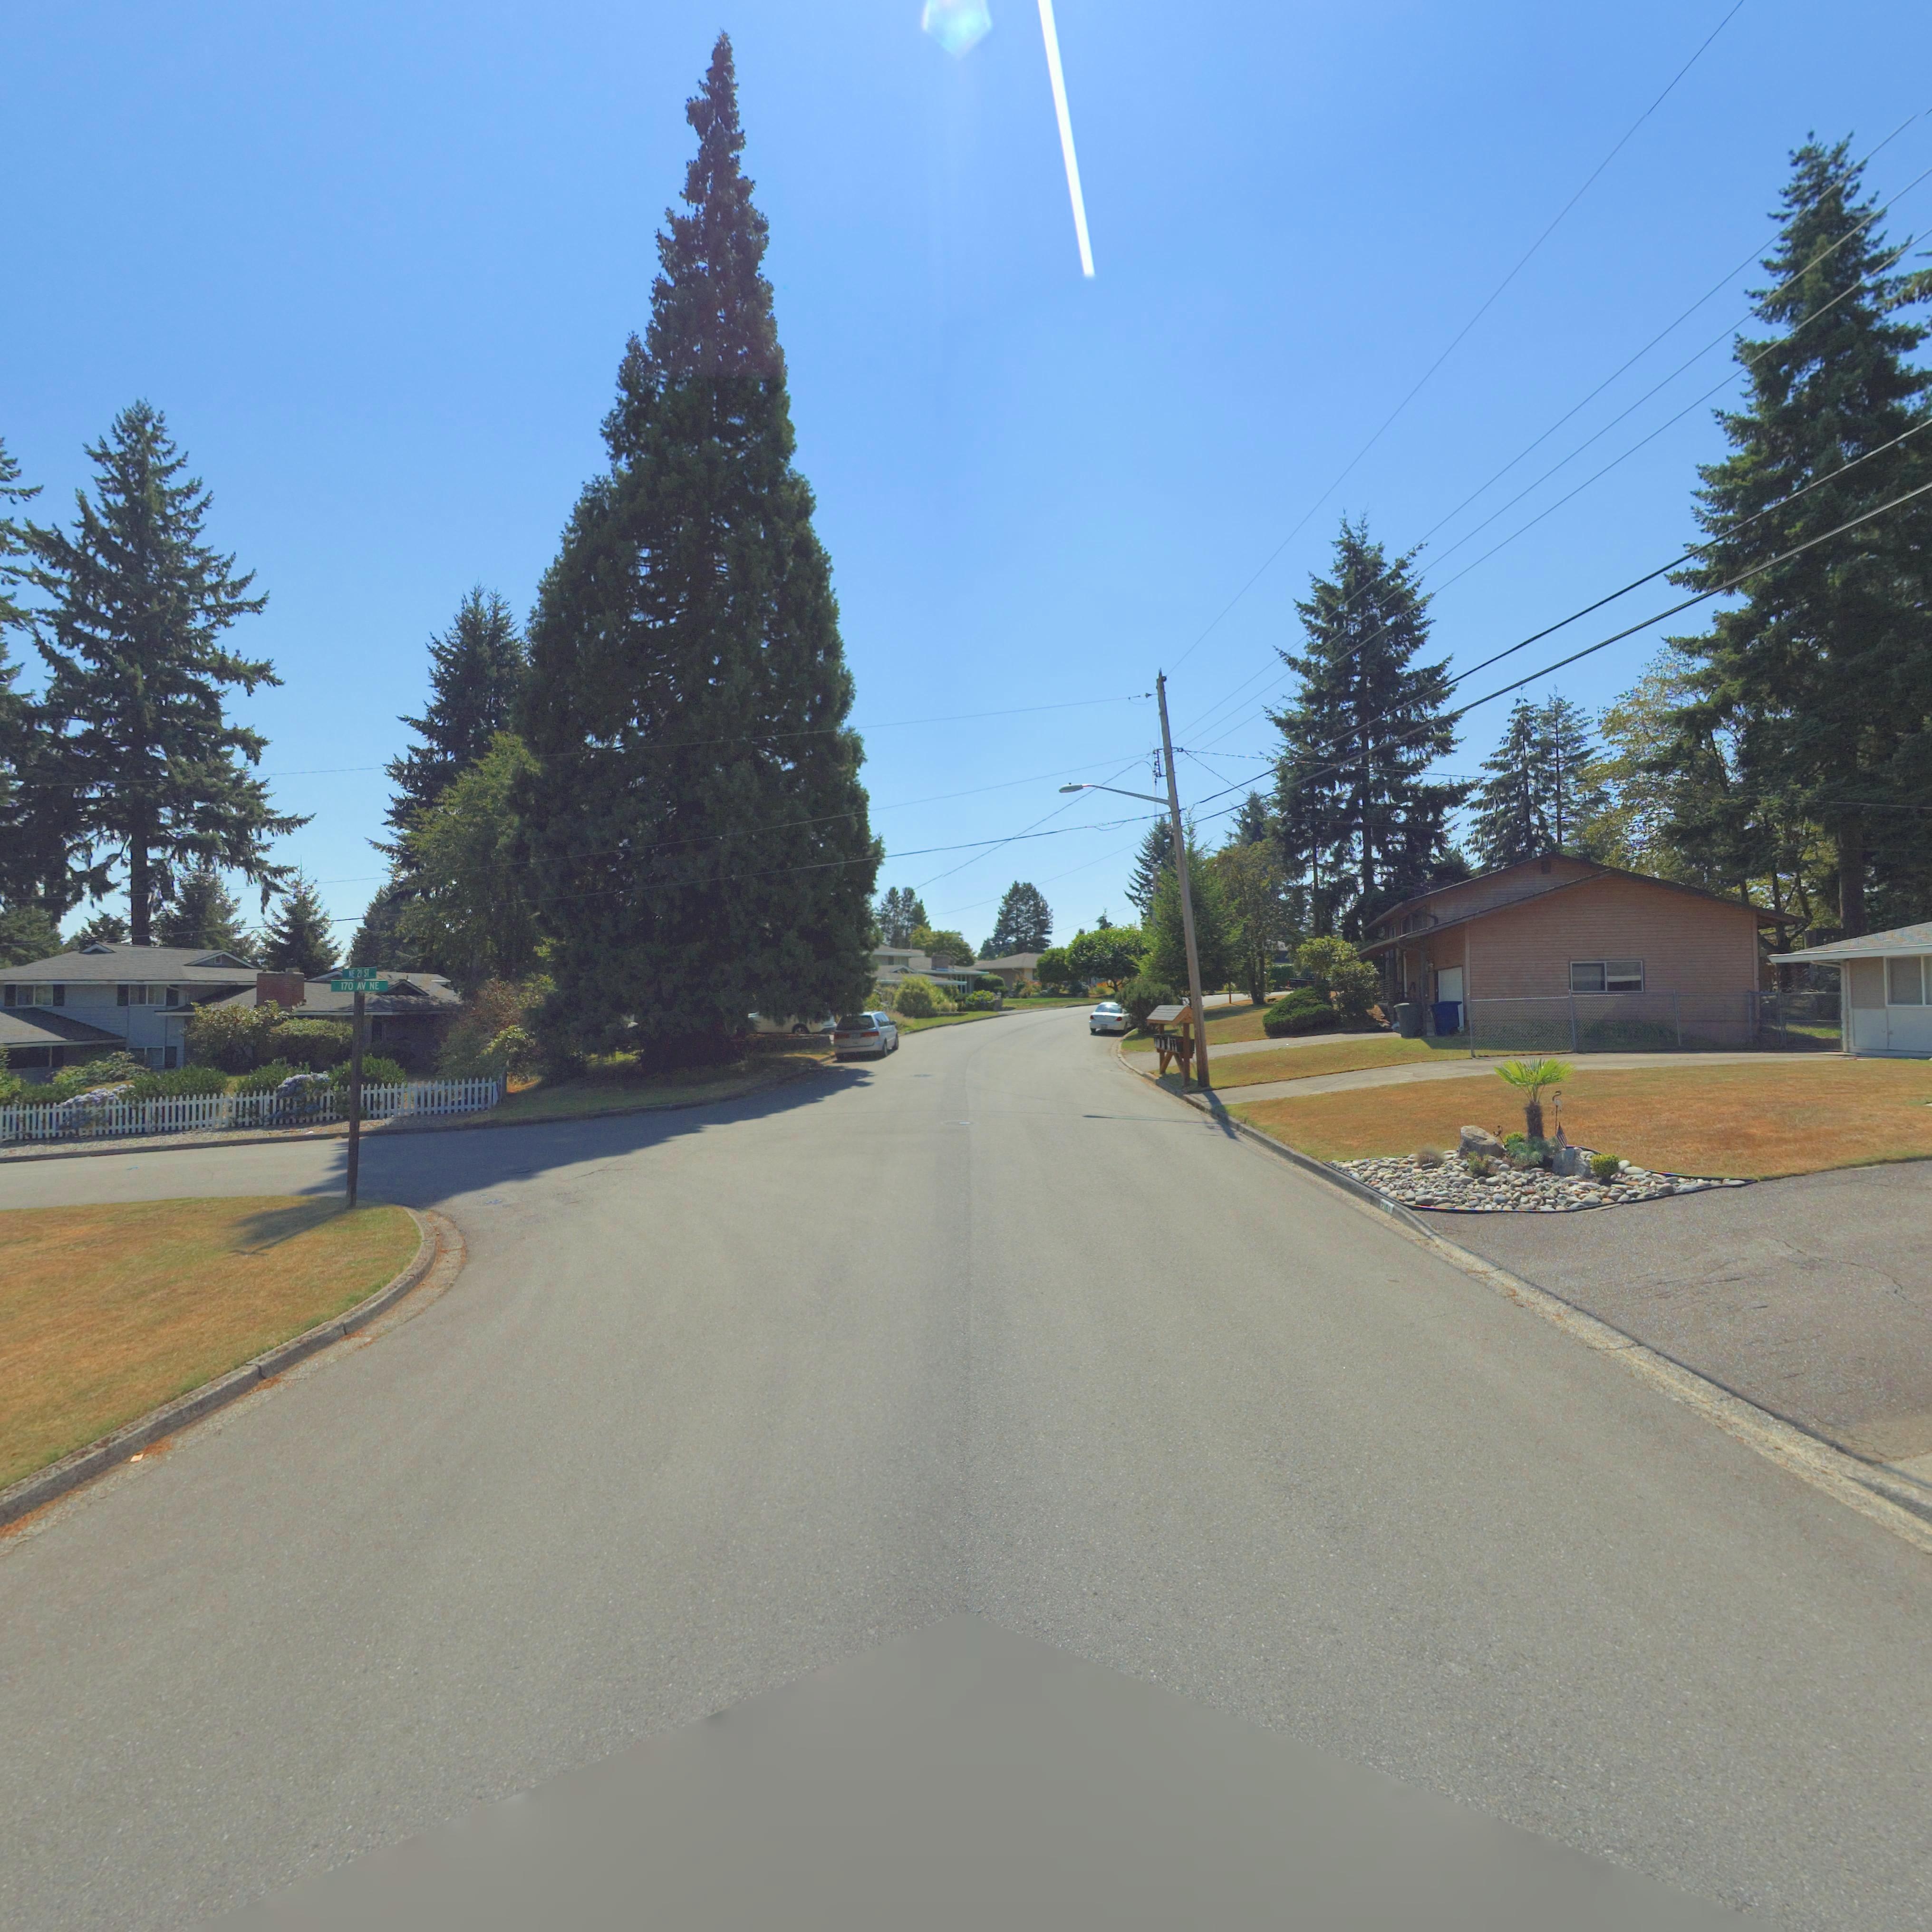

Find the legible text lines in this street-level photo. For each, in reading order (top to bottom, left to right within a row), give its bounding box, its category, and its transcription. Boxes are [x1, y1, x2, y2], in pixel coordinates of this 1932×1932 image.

[348, 968, 370, 978] StreetName: *E 21 ST
[341, 982, 378, 990] StreetName: 170 AV NE